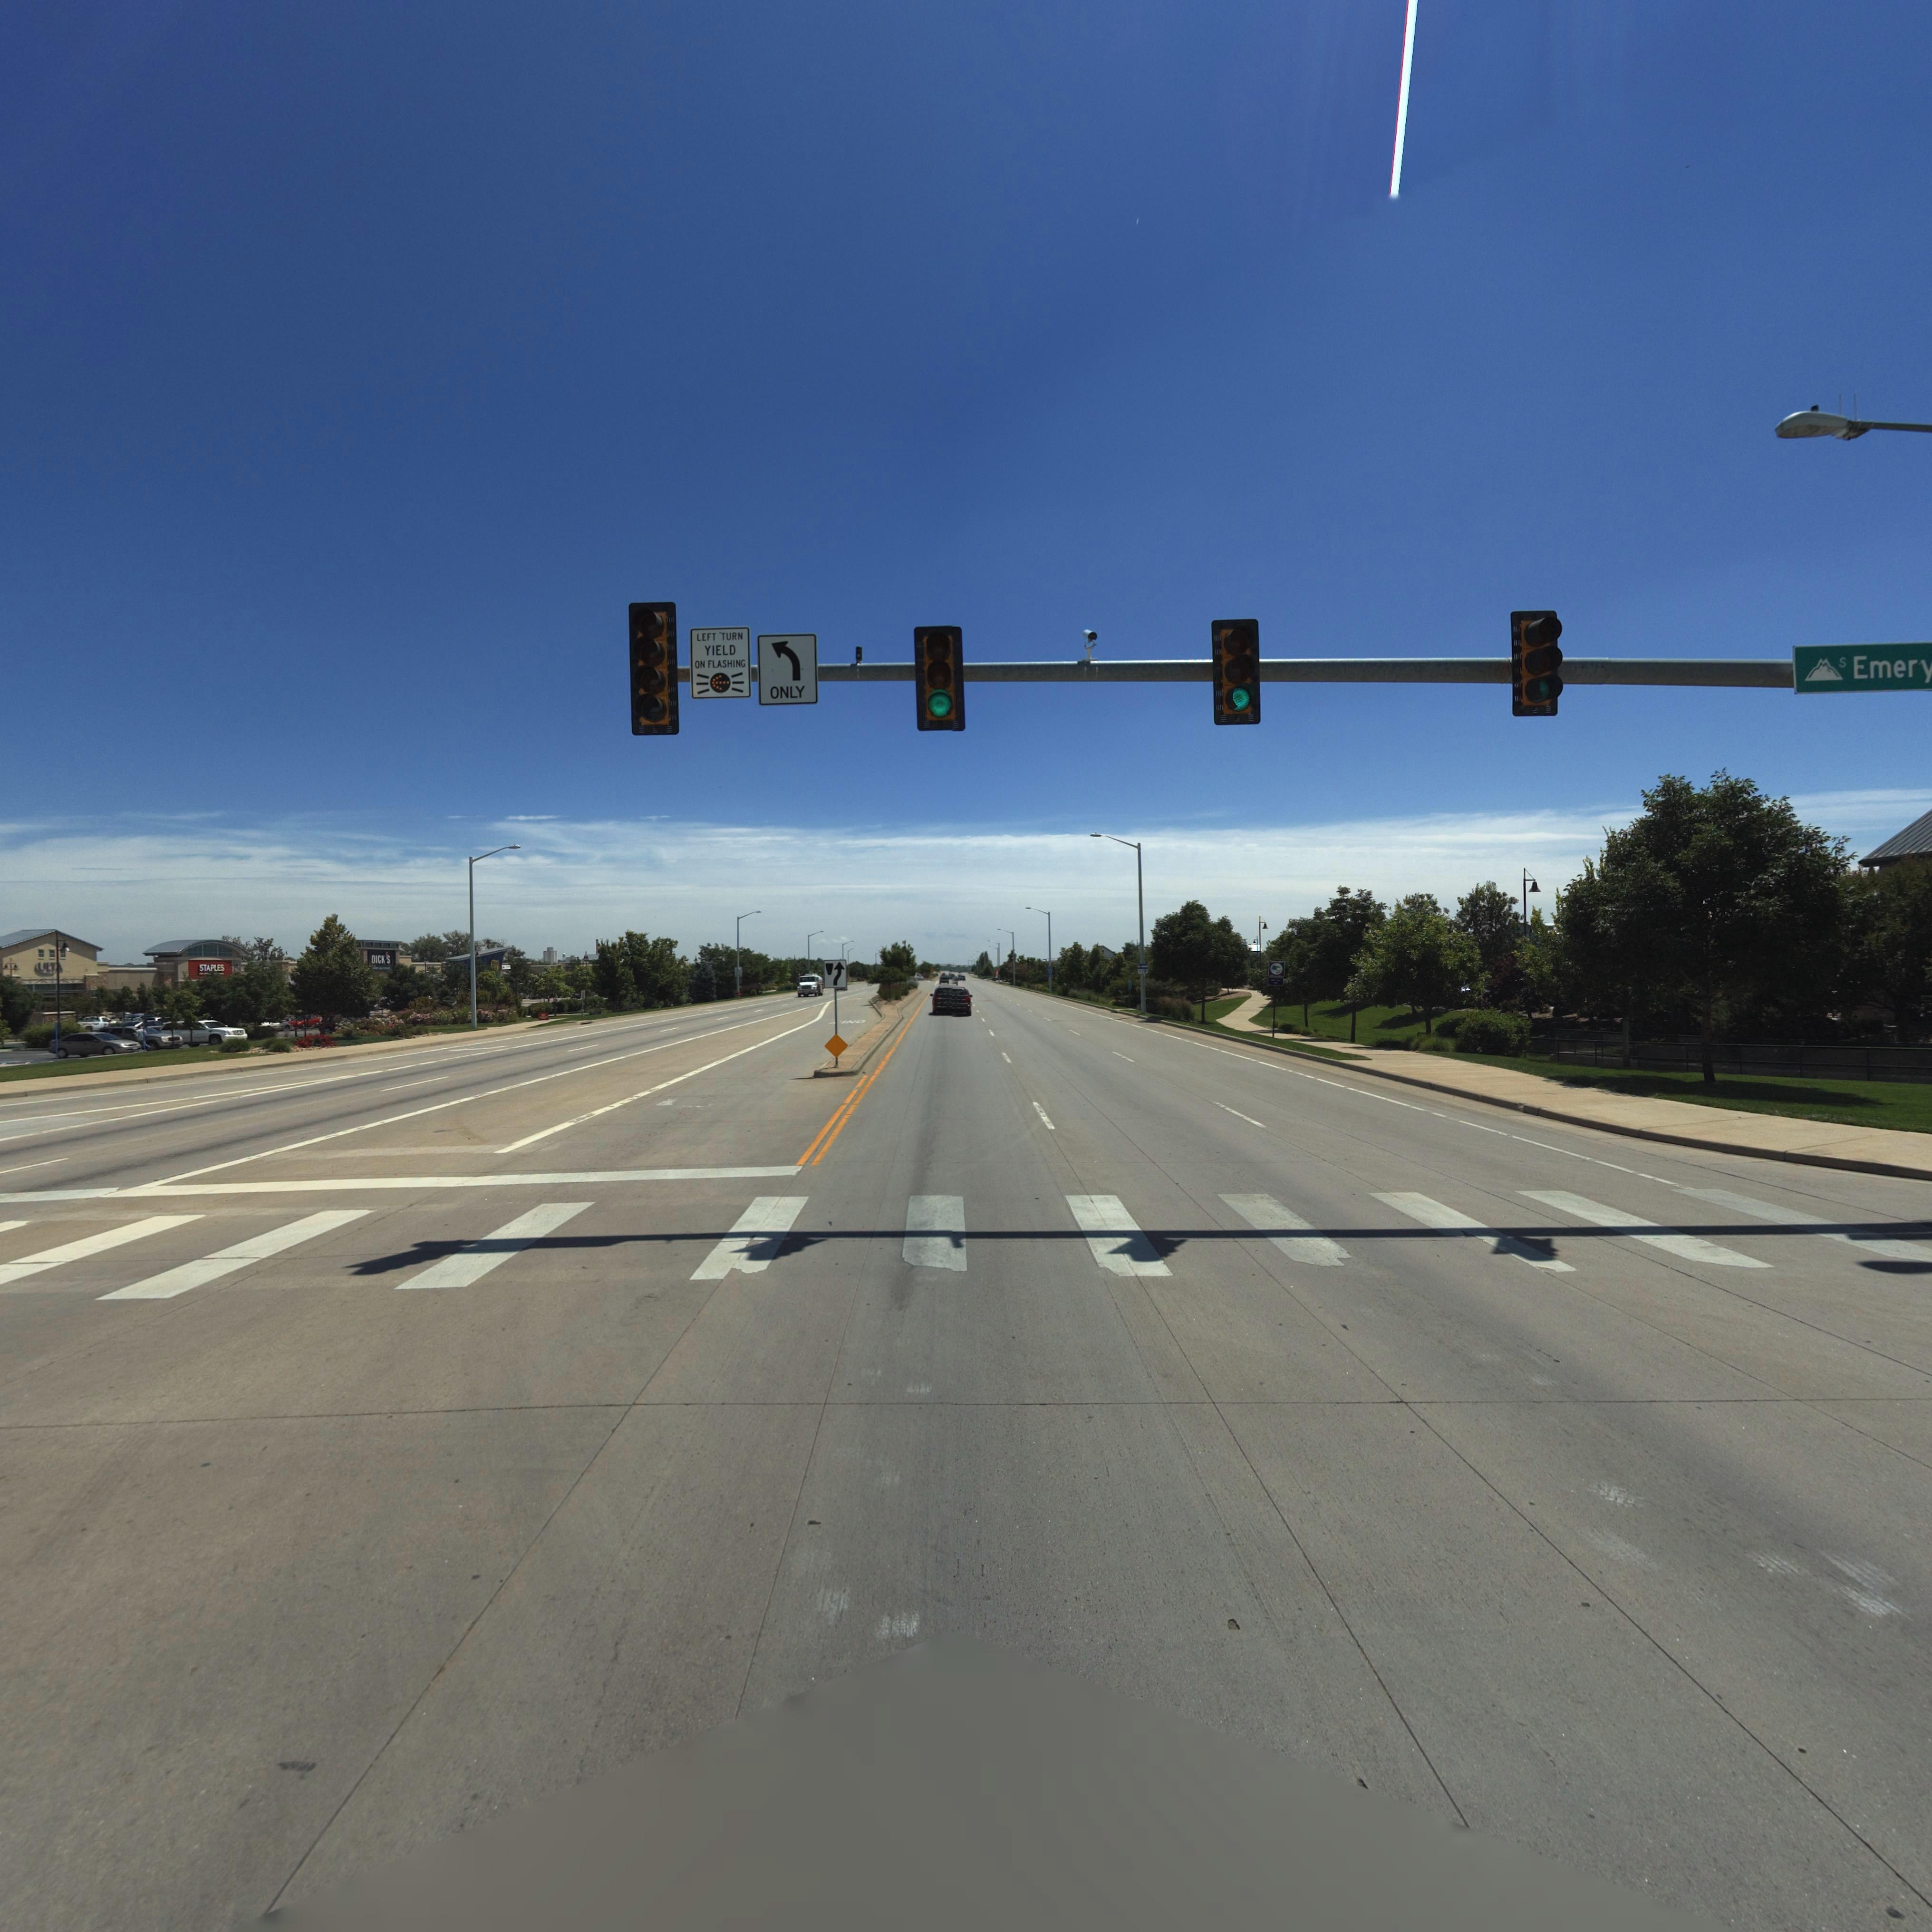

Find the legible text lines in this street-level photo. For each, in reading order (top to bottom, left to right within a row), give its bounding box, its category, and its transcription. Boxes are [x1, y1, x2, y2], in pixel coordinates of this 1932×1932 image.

[1838, 655, 1918, 680] StreetName: S Emer
[371, 954, 390, 964] BusinessName: DICK'S
[38, 962, 63, 971] BusinessName: ULT*
[199, 964, 224, 971] StreetNumber: STAPLES